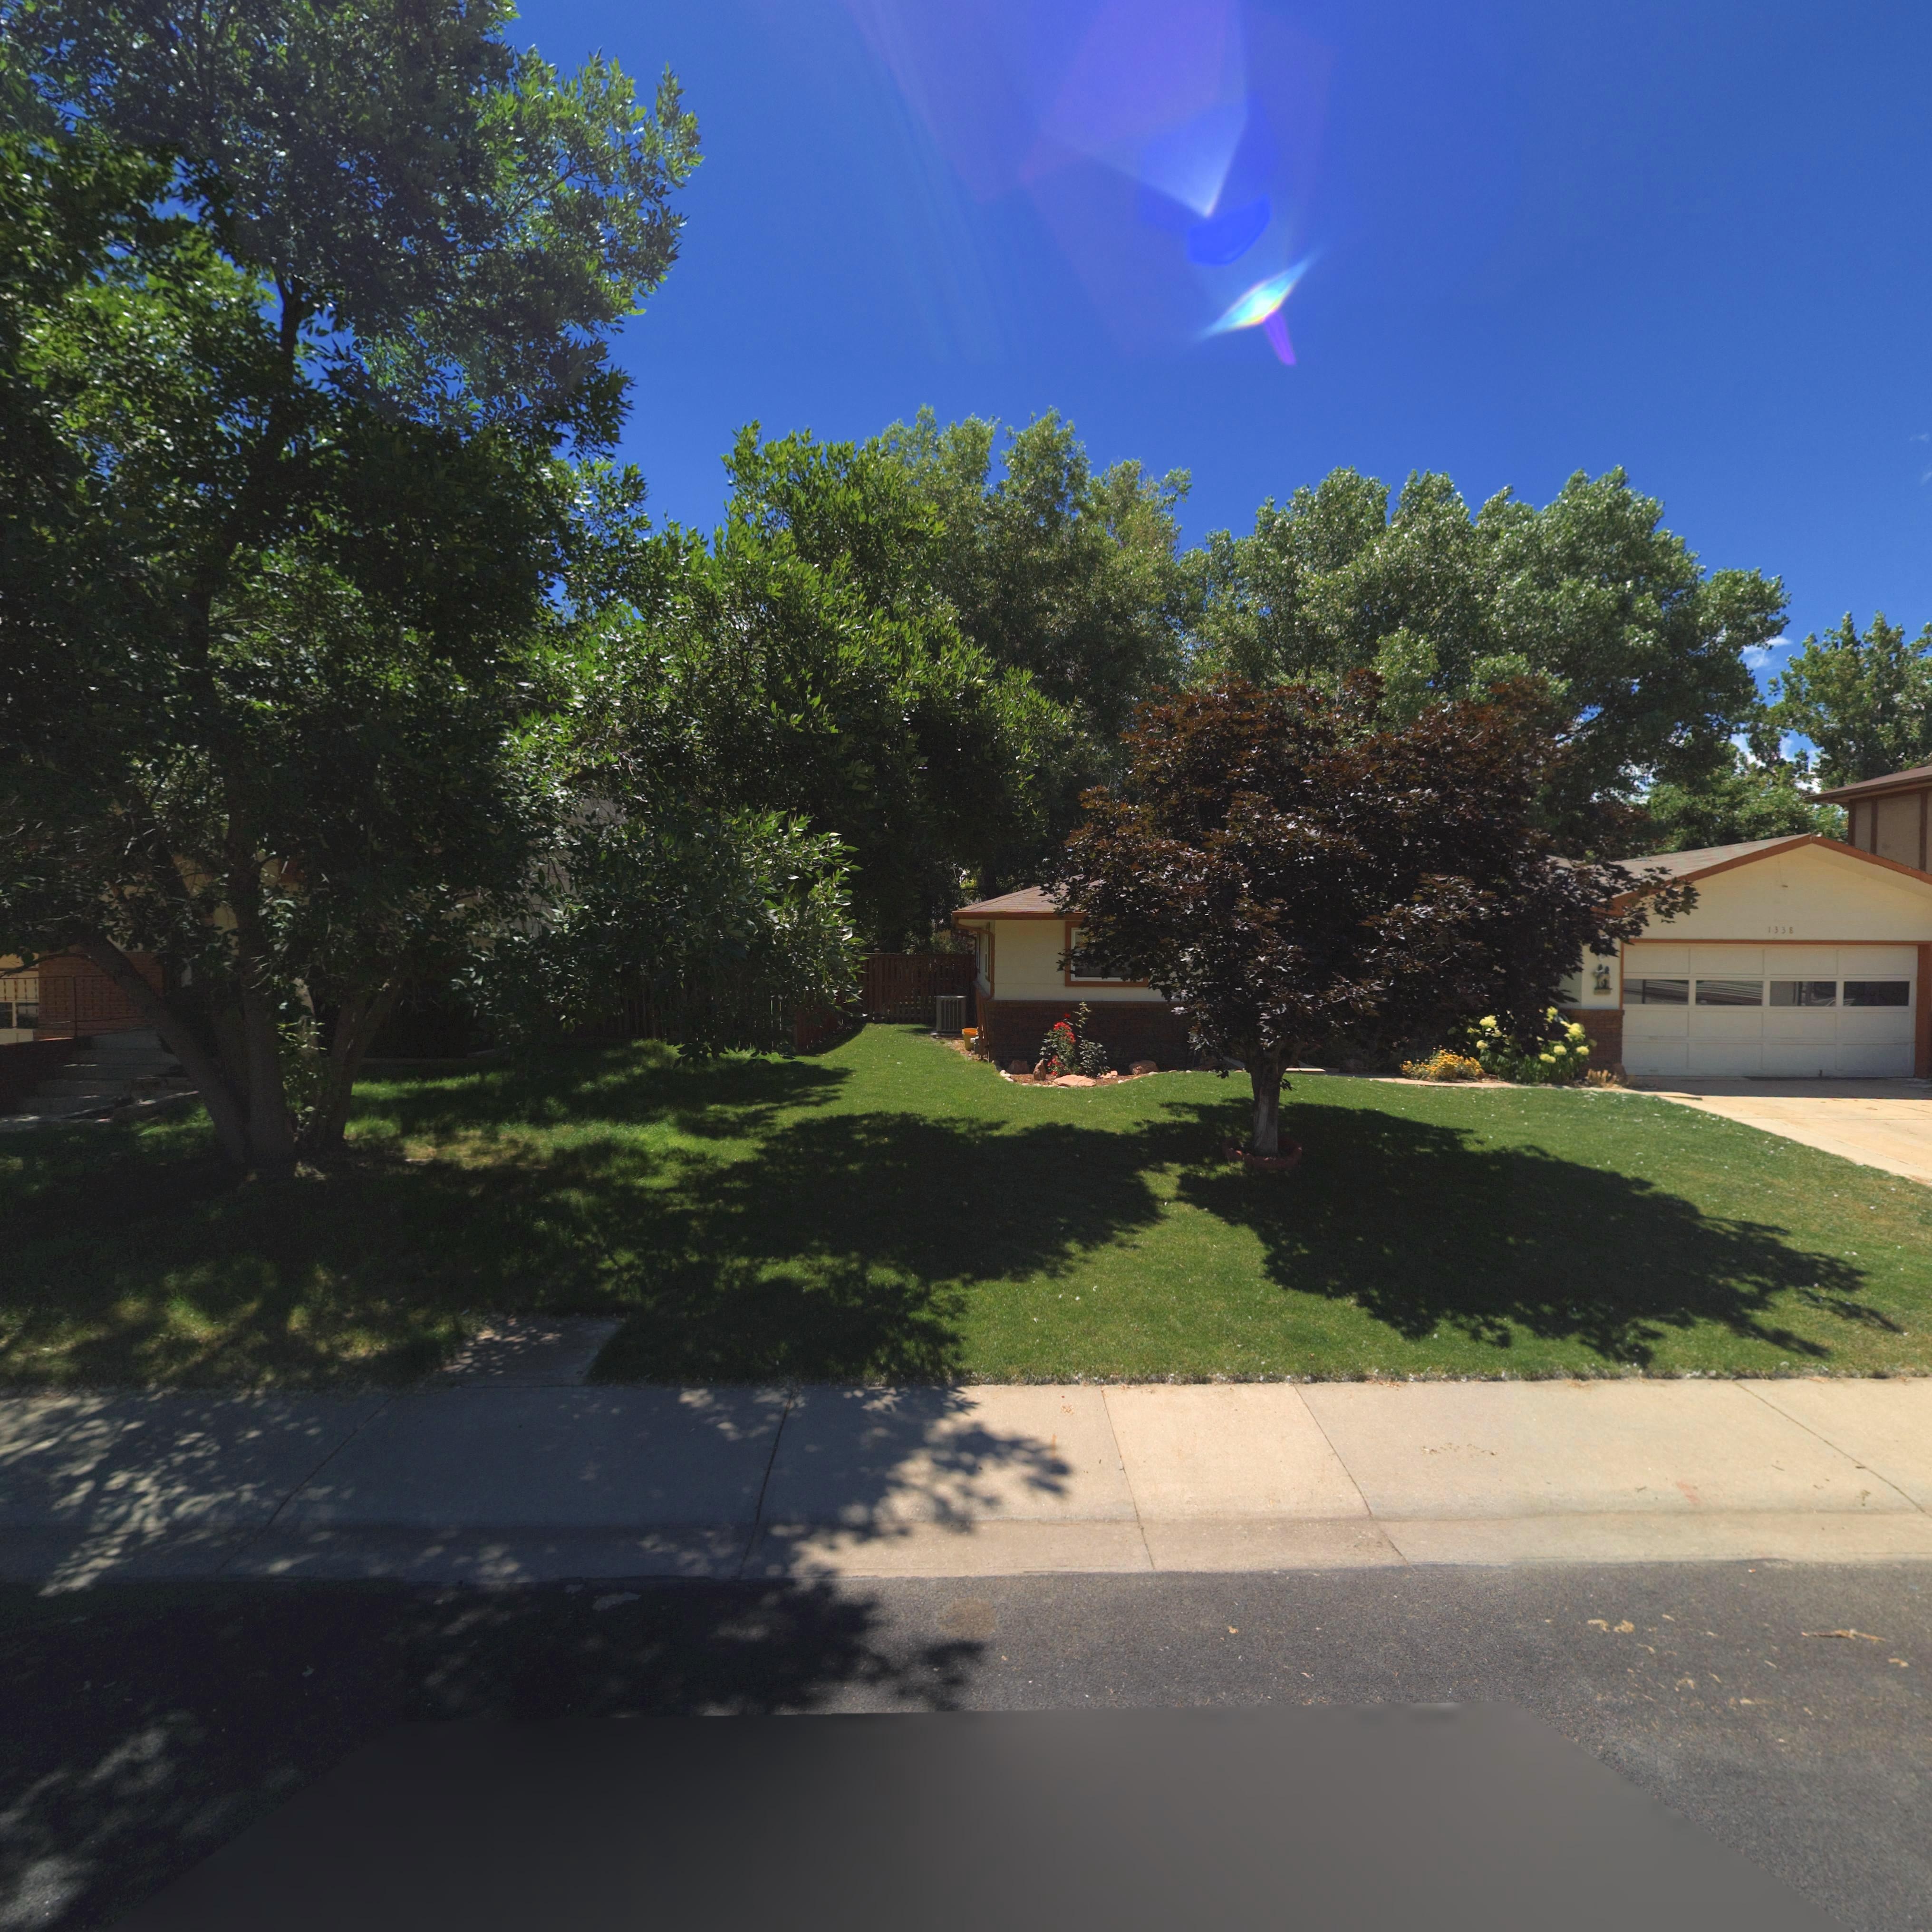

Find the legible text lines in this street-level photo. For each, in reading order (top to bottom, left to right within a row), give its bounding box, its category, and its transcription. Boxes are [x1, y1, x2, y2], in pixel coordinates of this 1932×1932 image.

[1767, 925, 1794, 934] StreetNumber: 1338